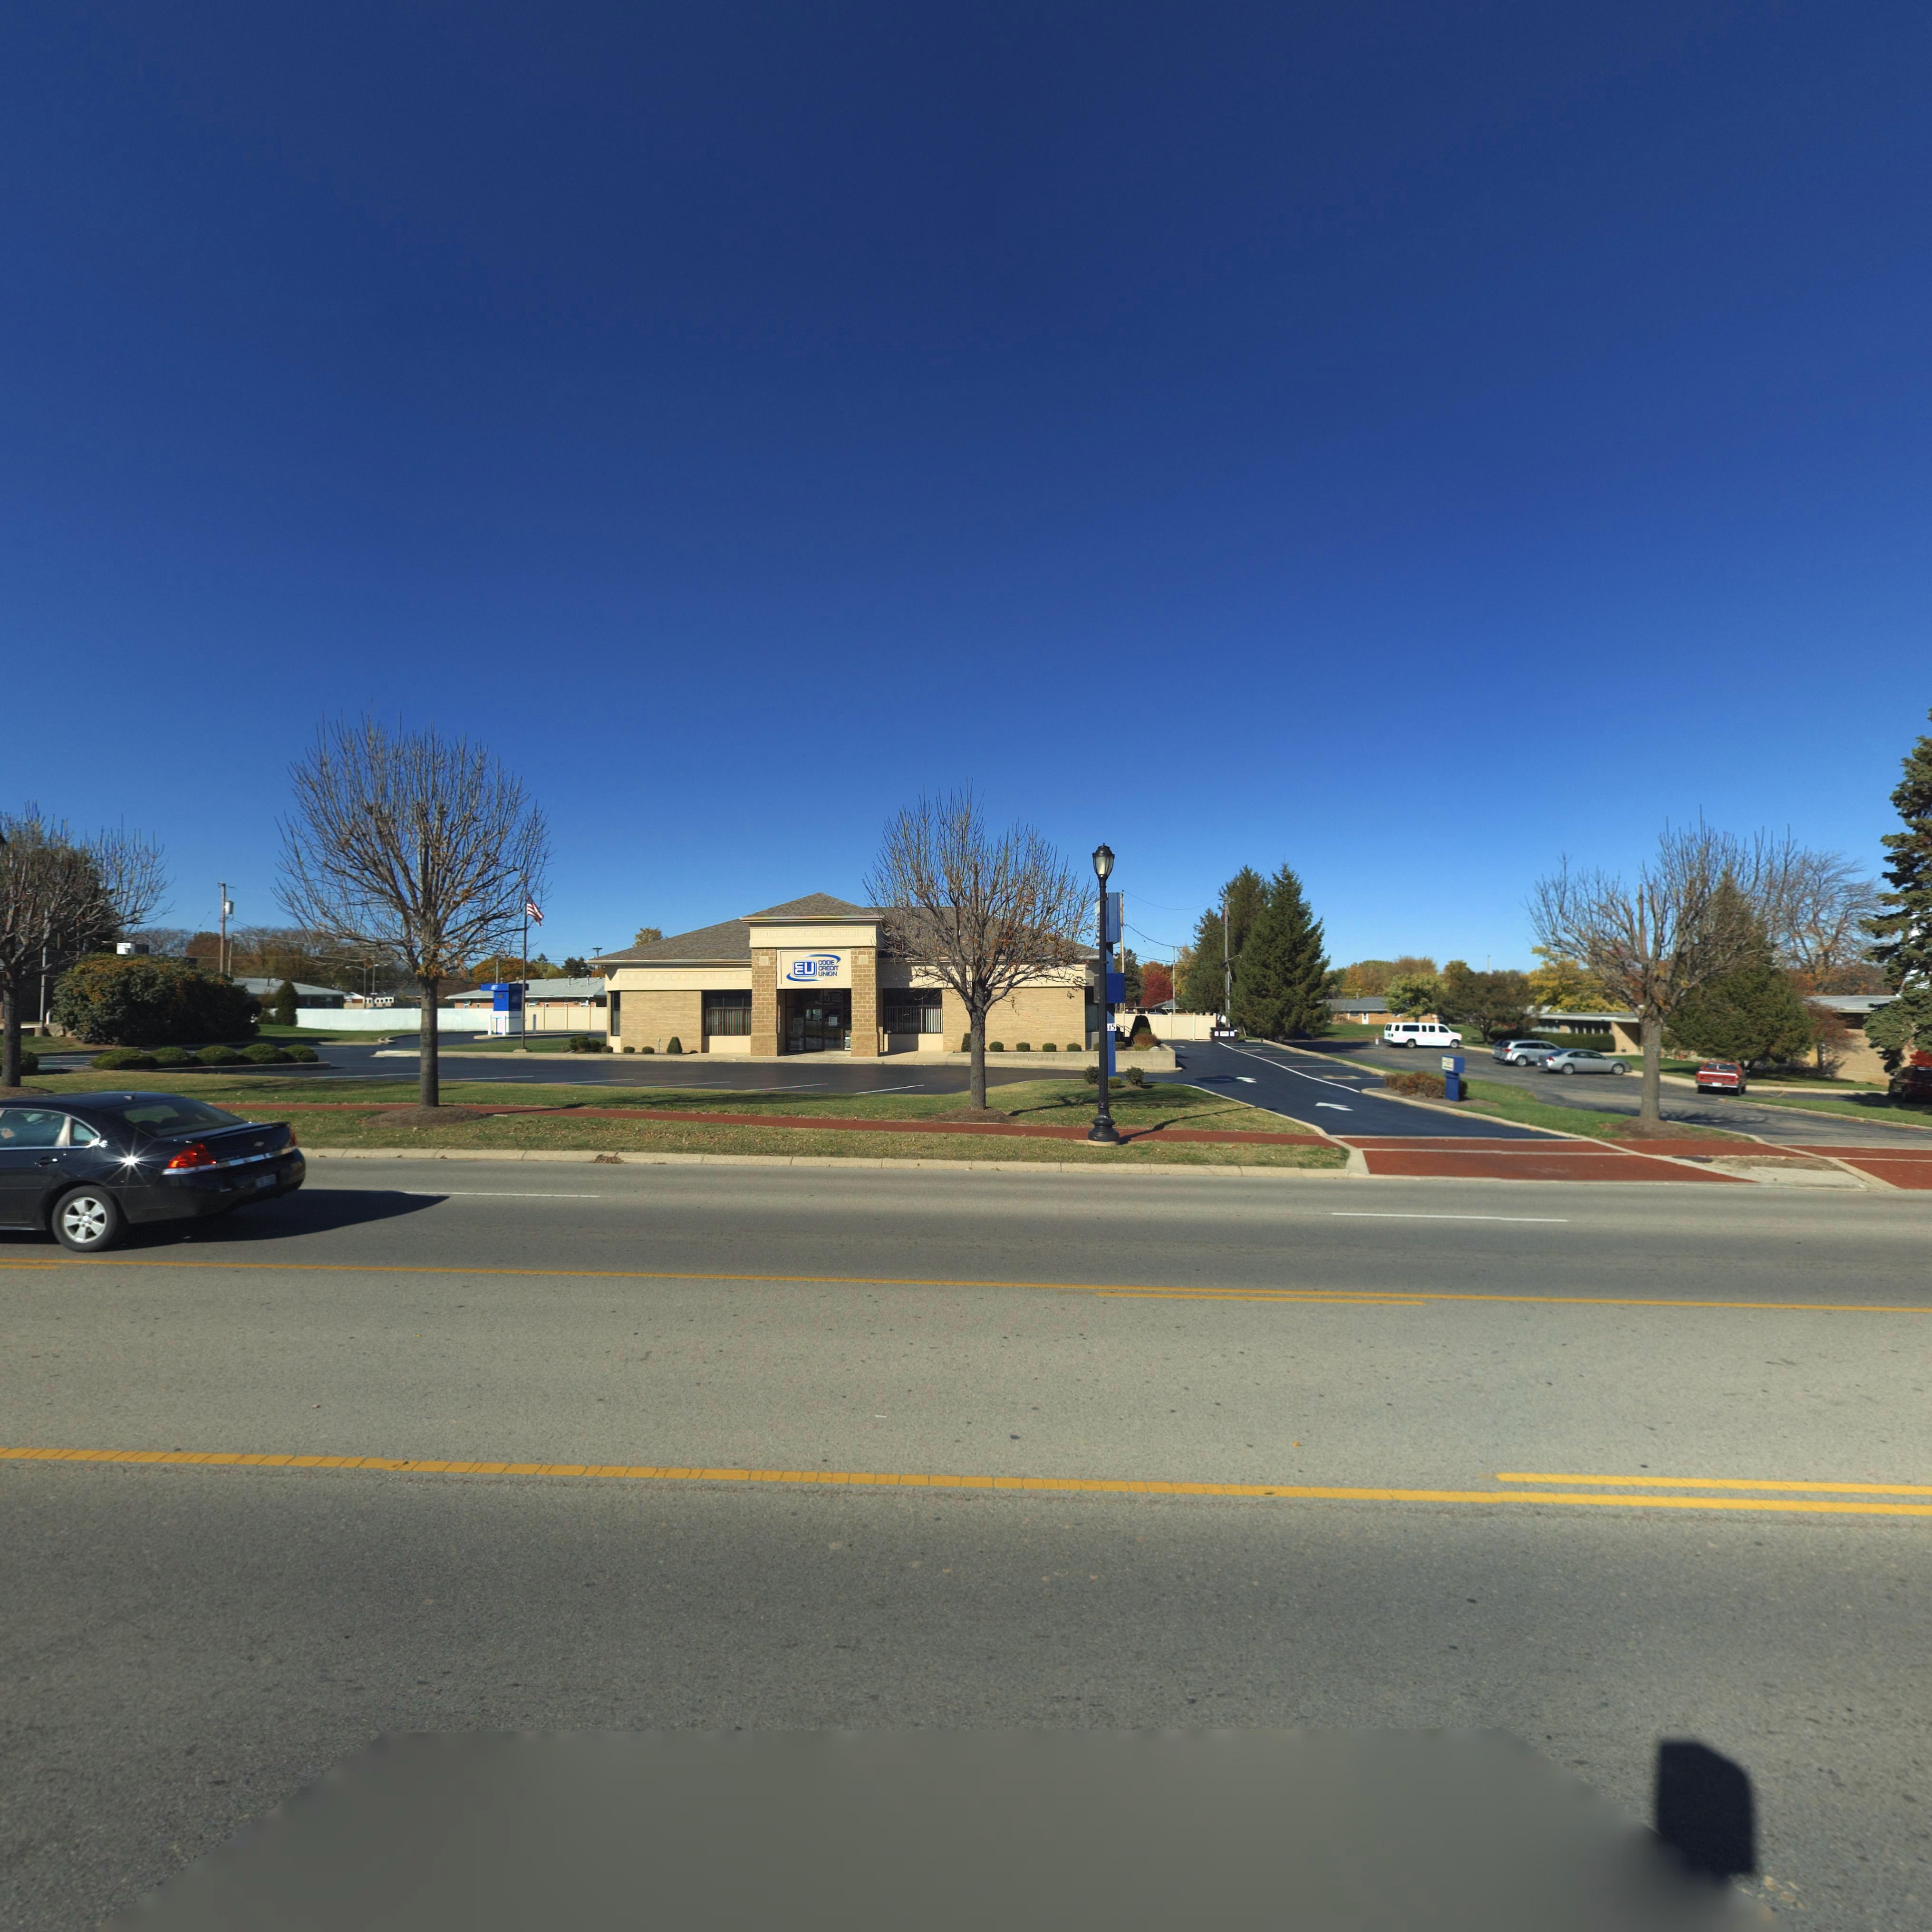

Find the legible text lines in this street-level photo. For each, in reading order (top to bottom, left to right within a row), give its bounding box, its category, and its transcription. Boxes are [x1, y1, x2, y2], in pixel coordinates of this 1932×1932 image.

[818, 959, 835, 966] BusinessName: CODE
[818, 965, 840, 971] BusinessName: CREDIT
[817, 971, 838, 977] BusinessName: UNION
[1108, 1024, 1117, 1032] StreetNumber: 15